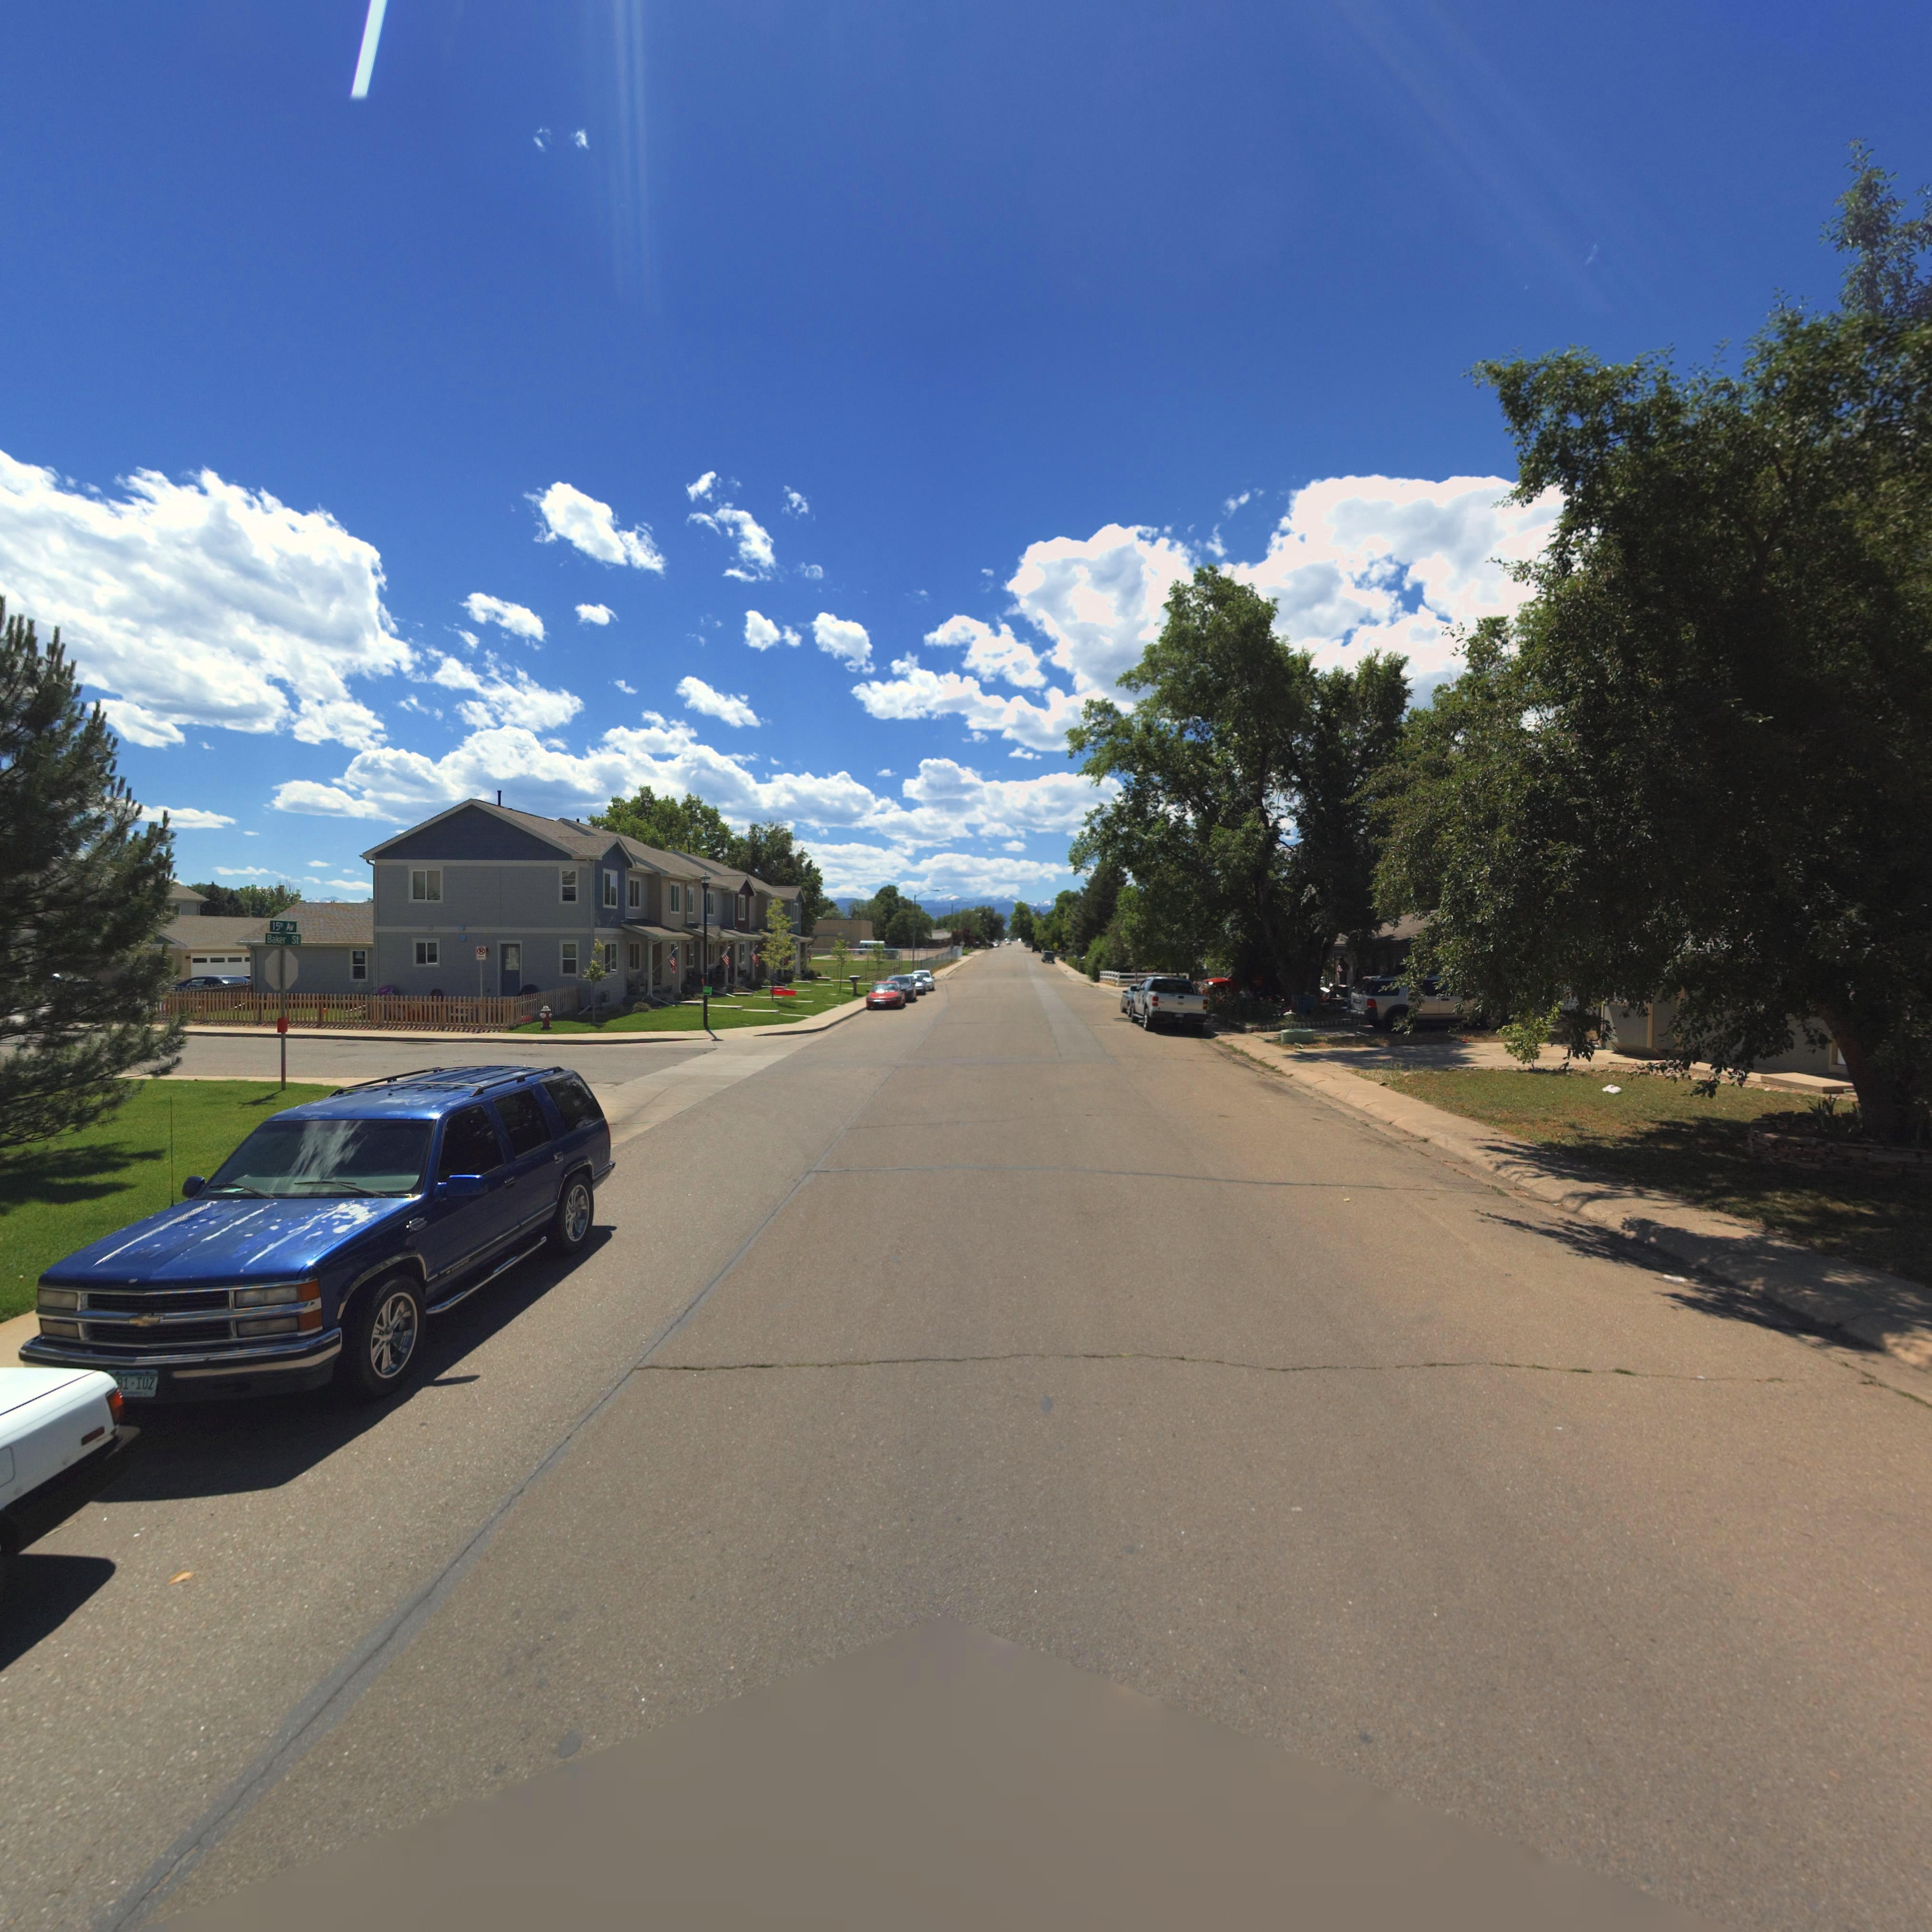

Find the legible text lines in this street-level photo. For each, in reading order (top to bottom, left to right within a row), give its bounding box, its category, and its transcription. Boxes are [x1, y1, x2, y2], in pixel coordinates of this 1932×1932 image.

[272, 921, 294, 931] StreetName: 15th Av
[267, 934, 299, 944] StreetName: Baker St